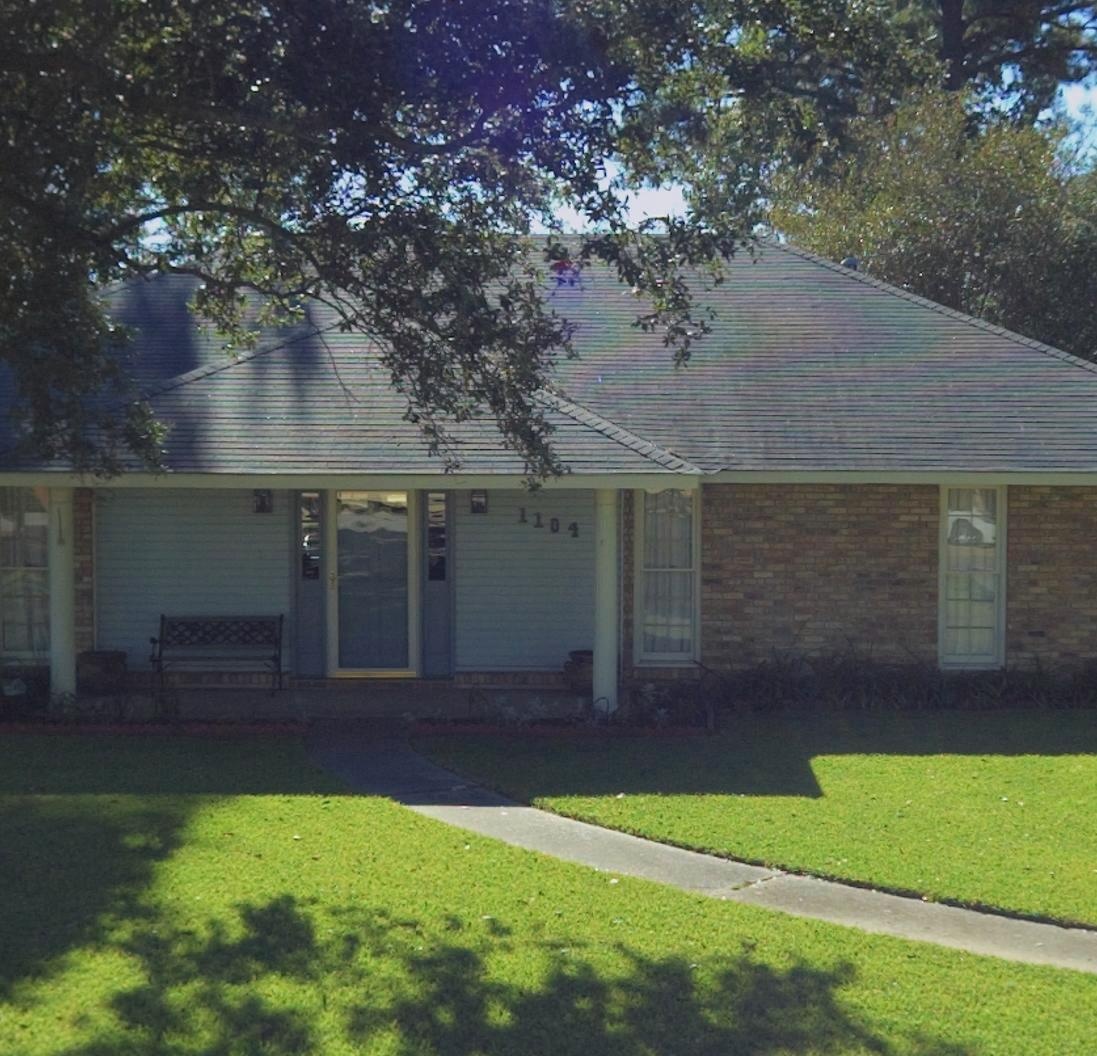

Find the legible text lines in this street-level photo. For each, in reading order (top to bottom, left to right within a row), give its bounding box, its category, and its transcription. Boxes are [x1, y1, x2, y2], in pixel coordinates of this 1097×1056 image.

[517, 505, 583, 540] StreetNumber: 1104